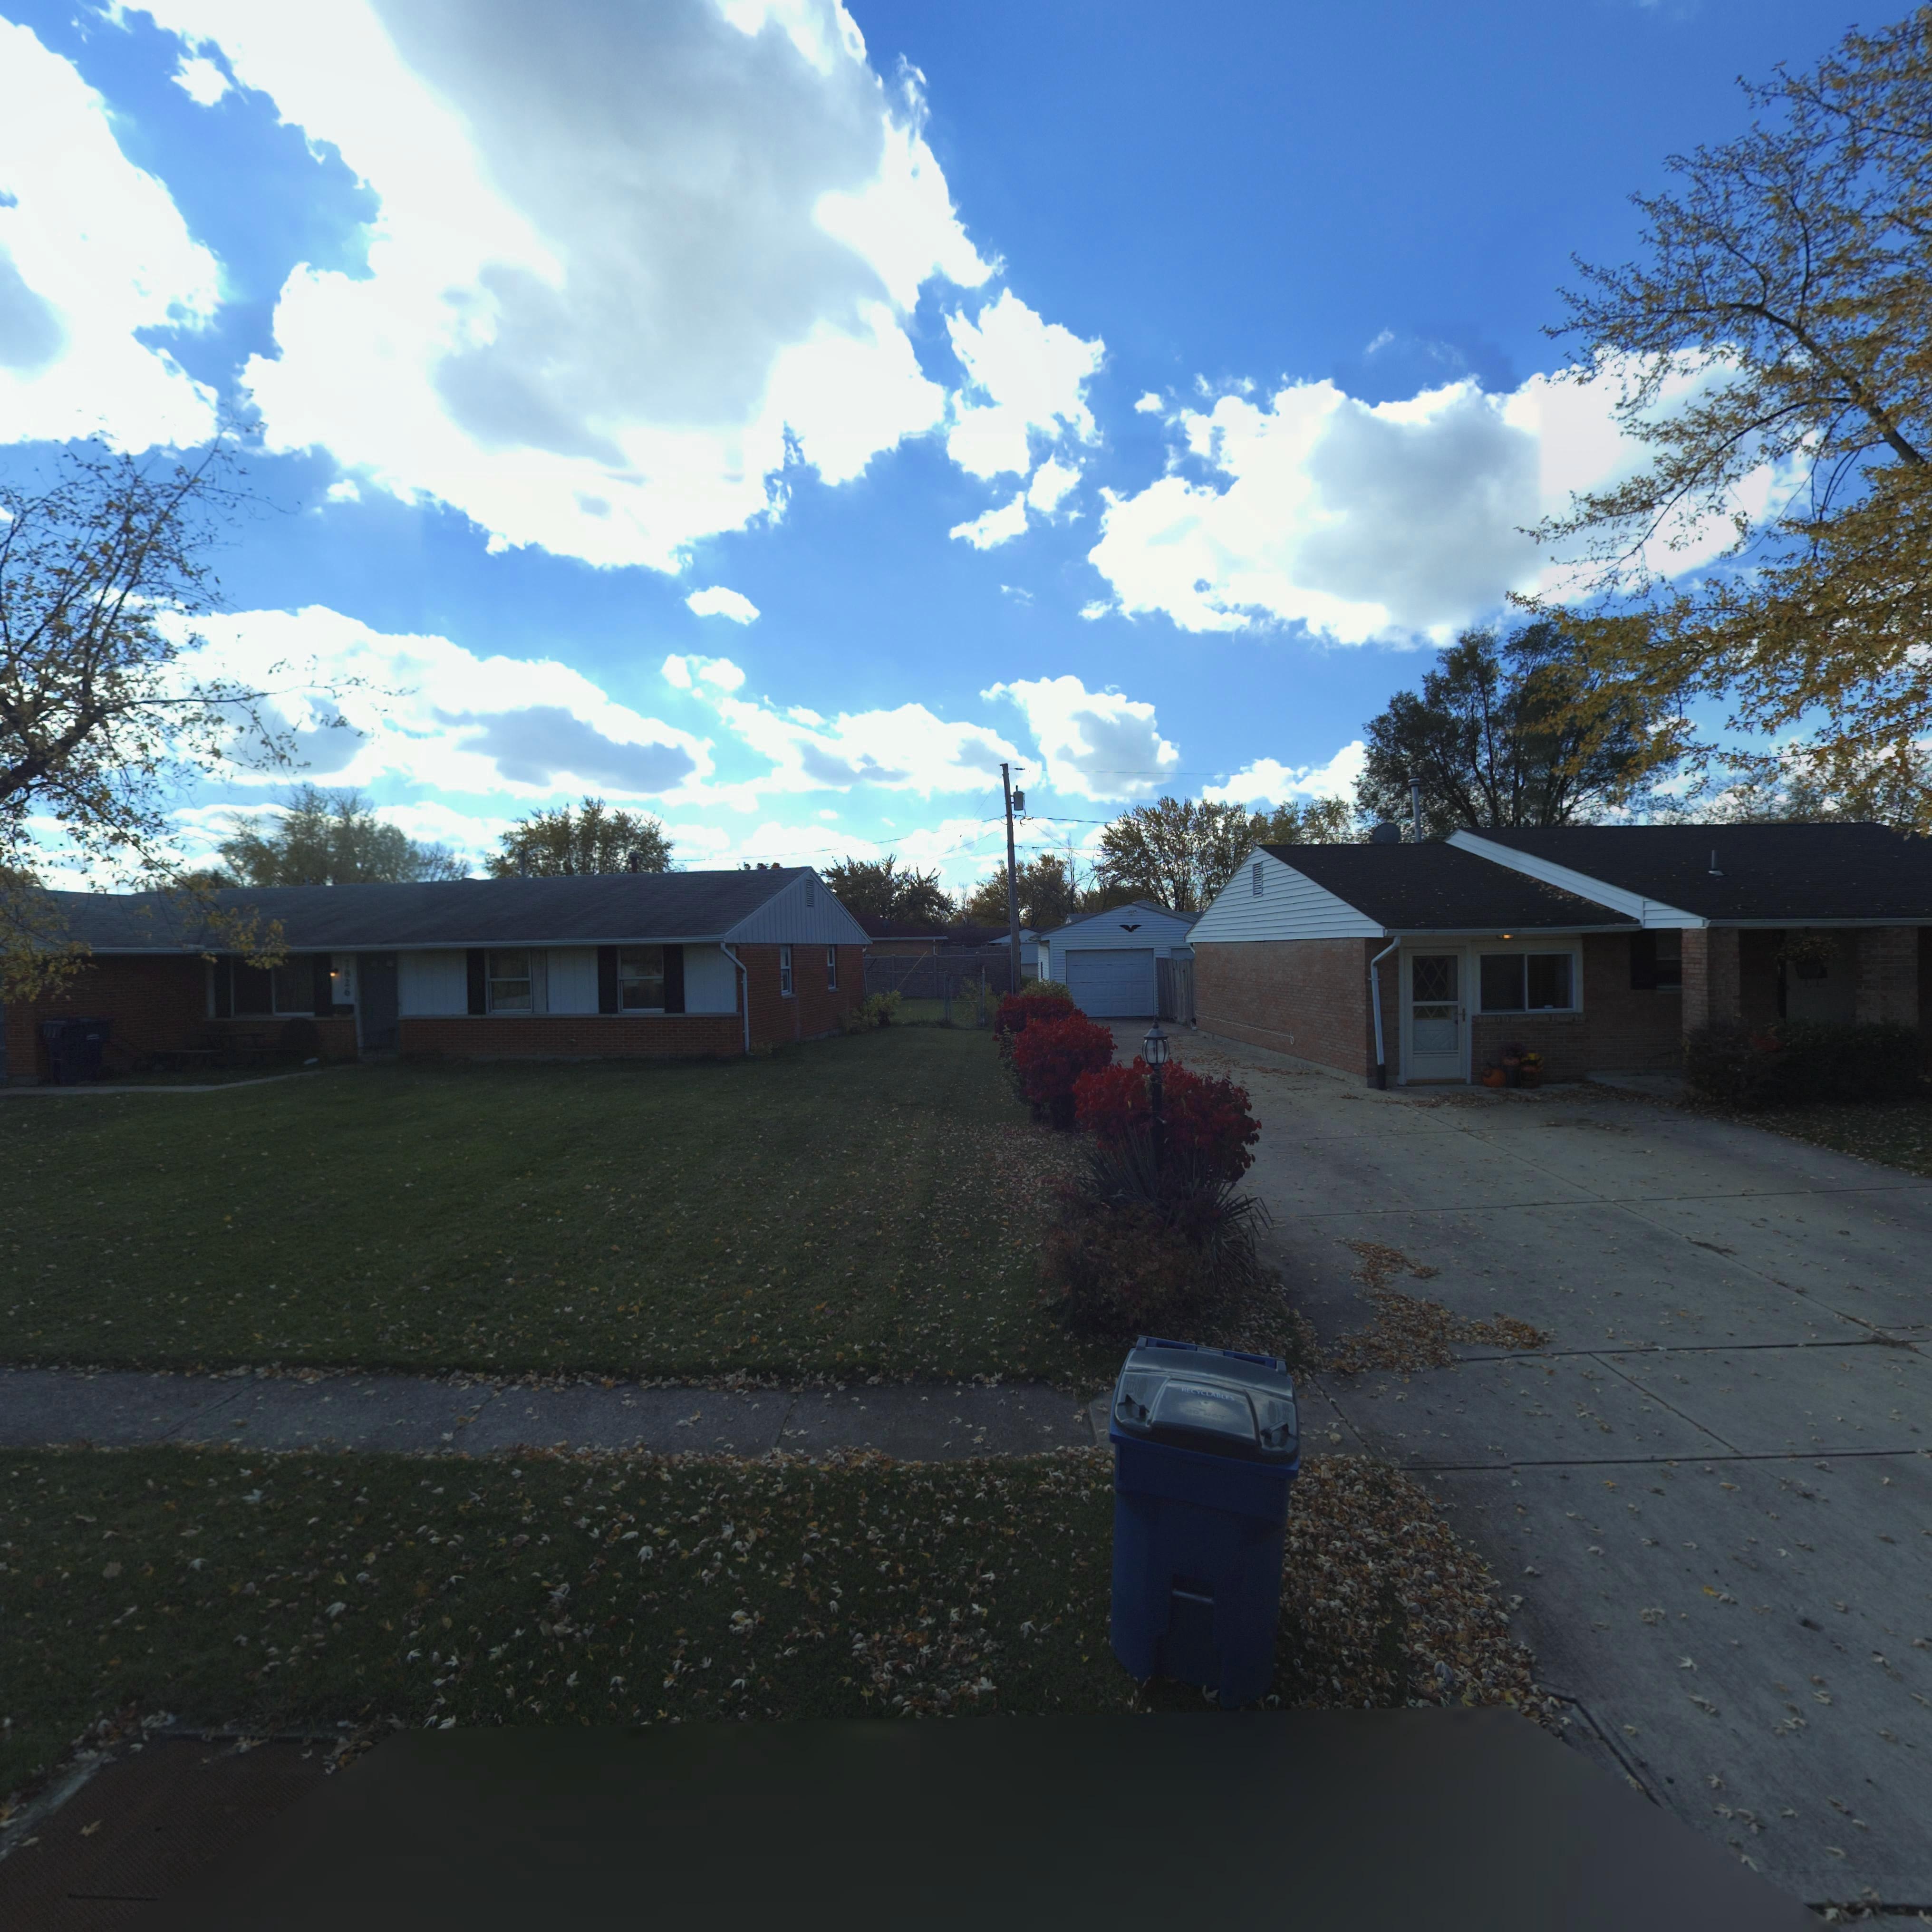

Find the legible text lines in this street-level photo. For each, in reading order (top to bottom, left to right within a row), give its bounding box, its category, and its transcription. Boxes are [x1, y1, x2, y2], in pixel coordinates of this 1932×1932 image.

[343, 958, 351, 997] StreetNumber: 7826